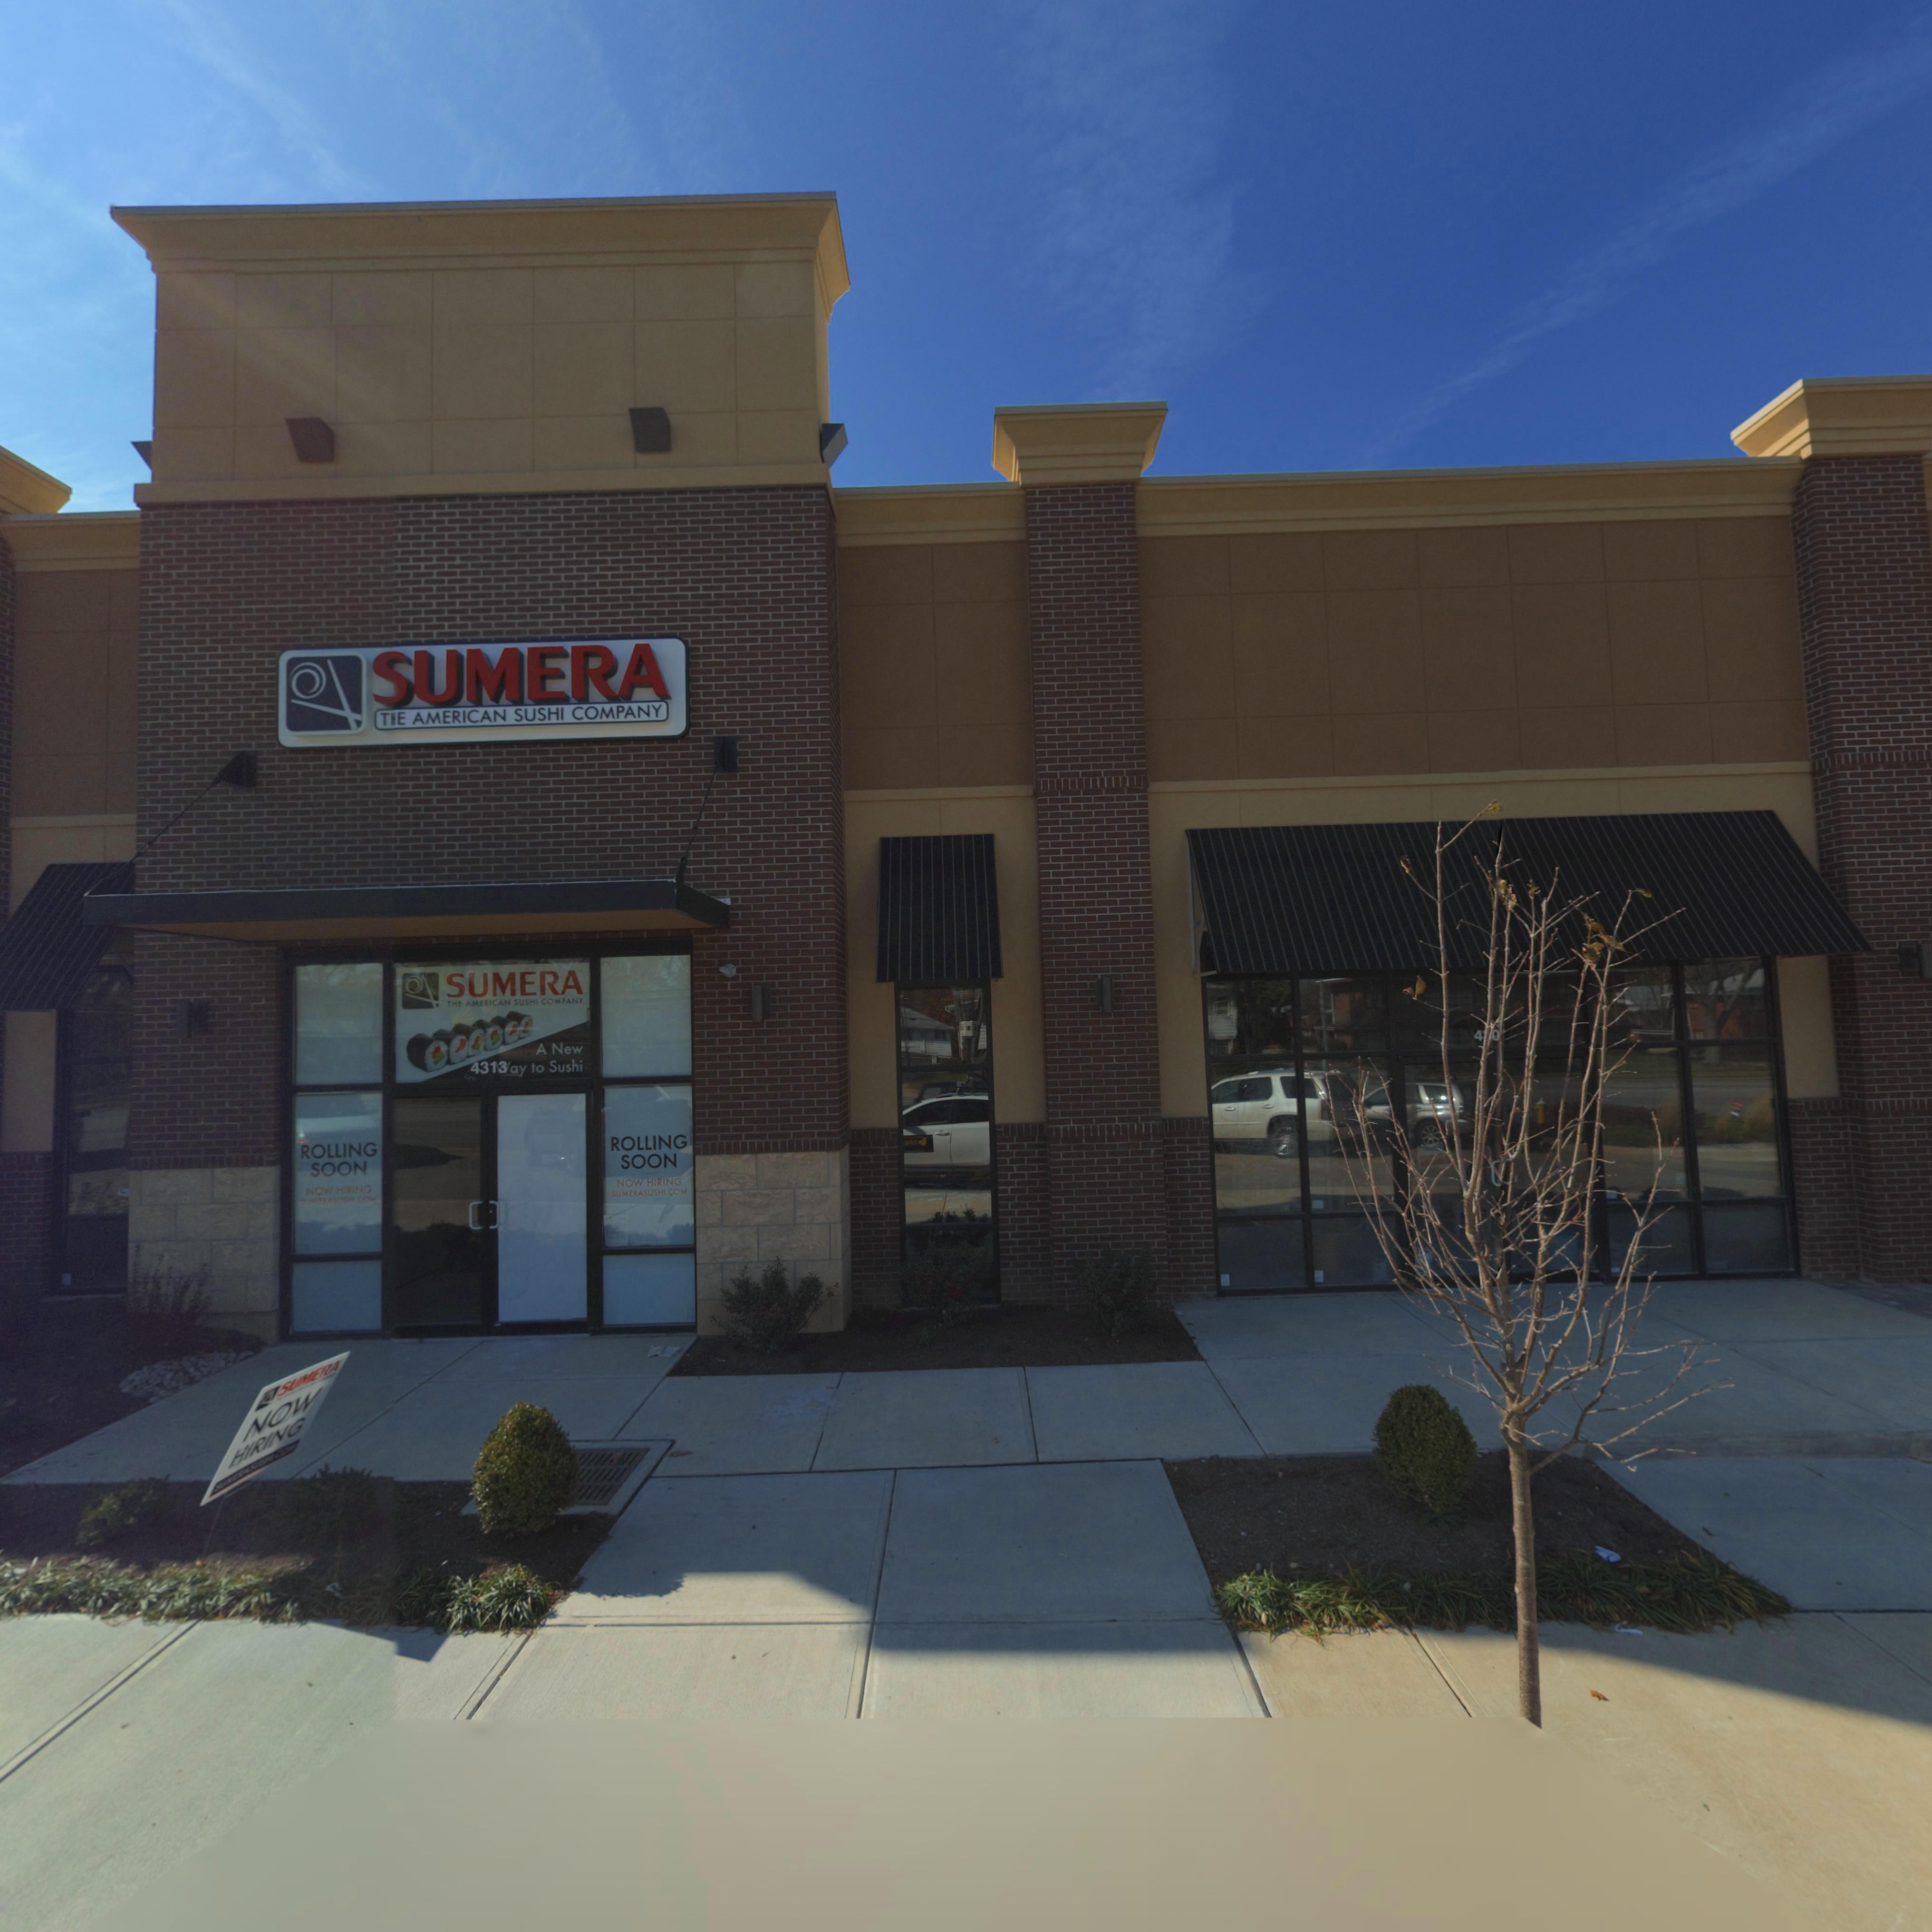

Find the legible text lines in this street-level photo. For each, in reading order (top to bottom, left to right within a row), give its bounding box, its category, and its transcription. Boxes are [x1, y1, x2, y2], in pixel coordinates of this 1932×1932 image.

[371, 641, 670, 706] BusinessName: SUMERA
[379, 702, 666, 728] BusinessName: THE AMERICAN SUSHI COMPANY
[444, 967, 585, 1000] BusinessName: SUMERA
[447, 996, 585, 1009] BusinessName: THE AMERICAN SUSHI COMPANY
[1473, 1027, 1501, 1043] StreetNumber: 4*0
[469, 1060, 509, 1076] StreetNumber: 431*
[275, 1358, 340, 1399] BusinessName: SUMERA